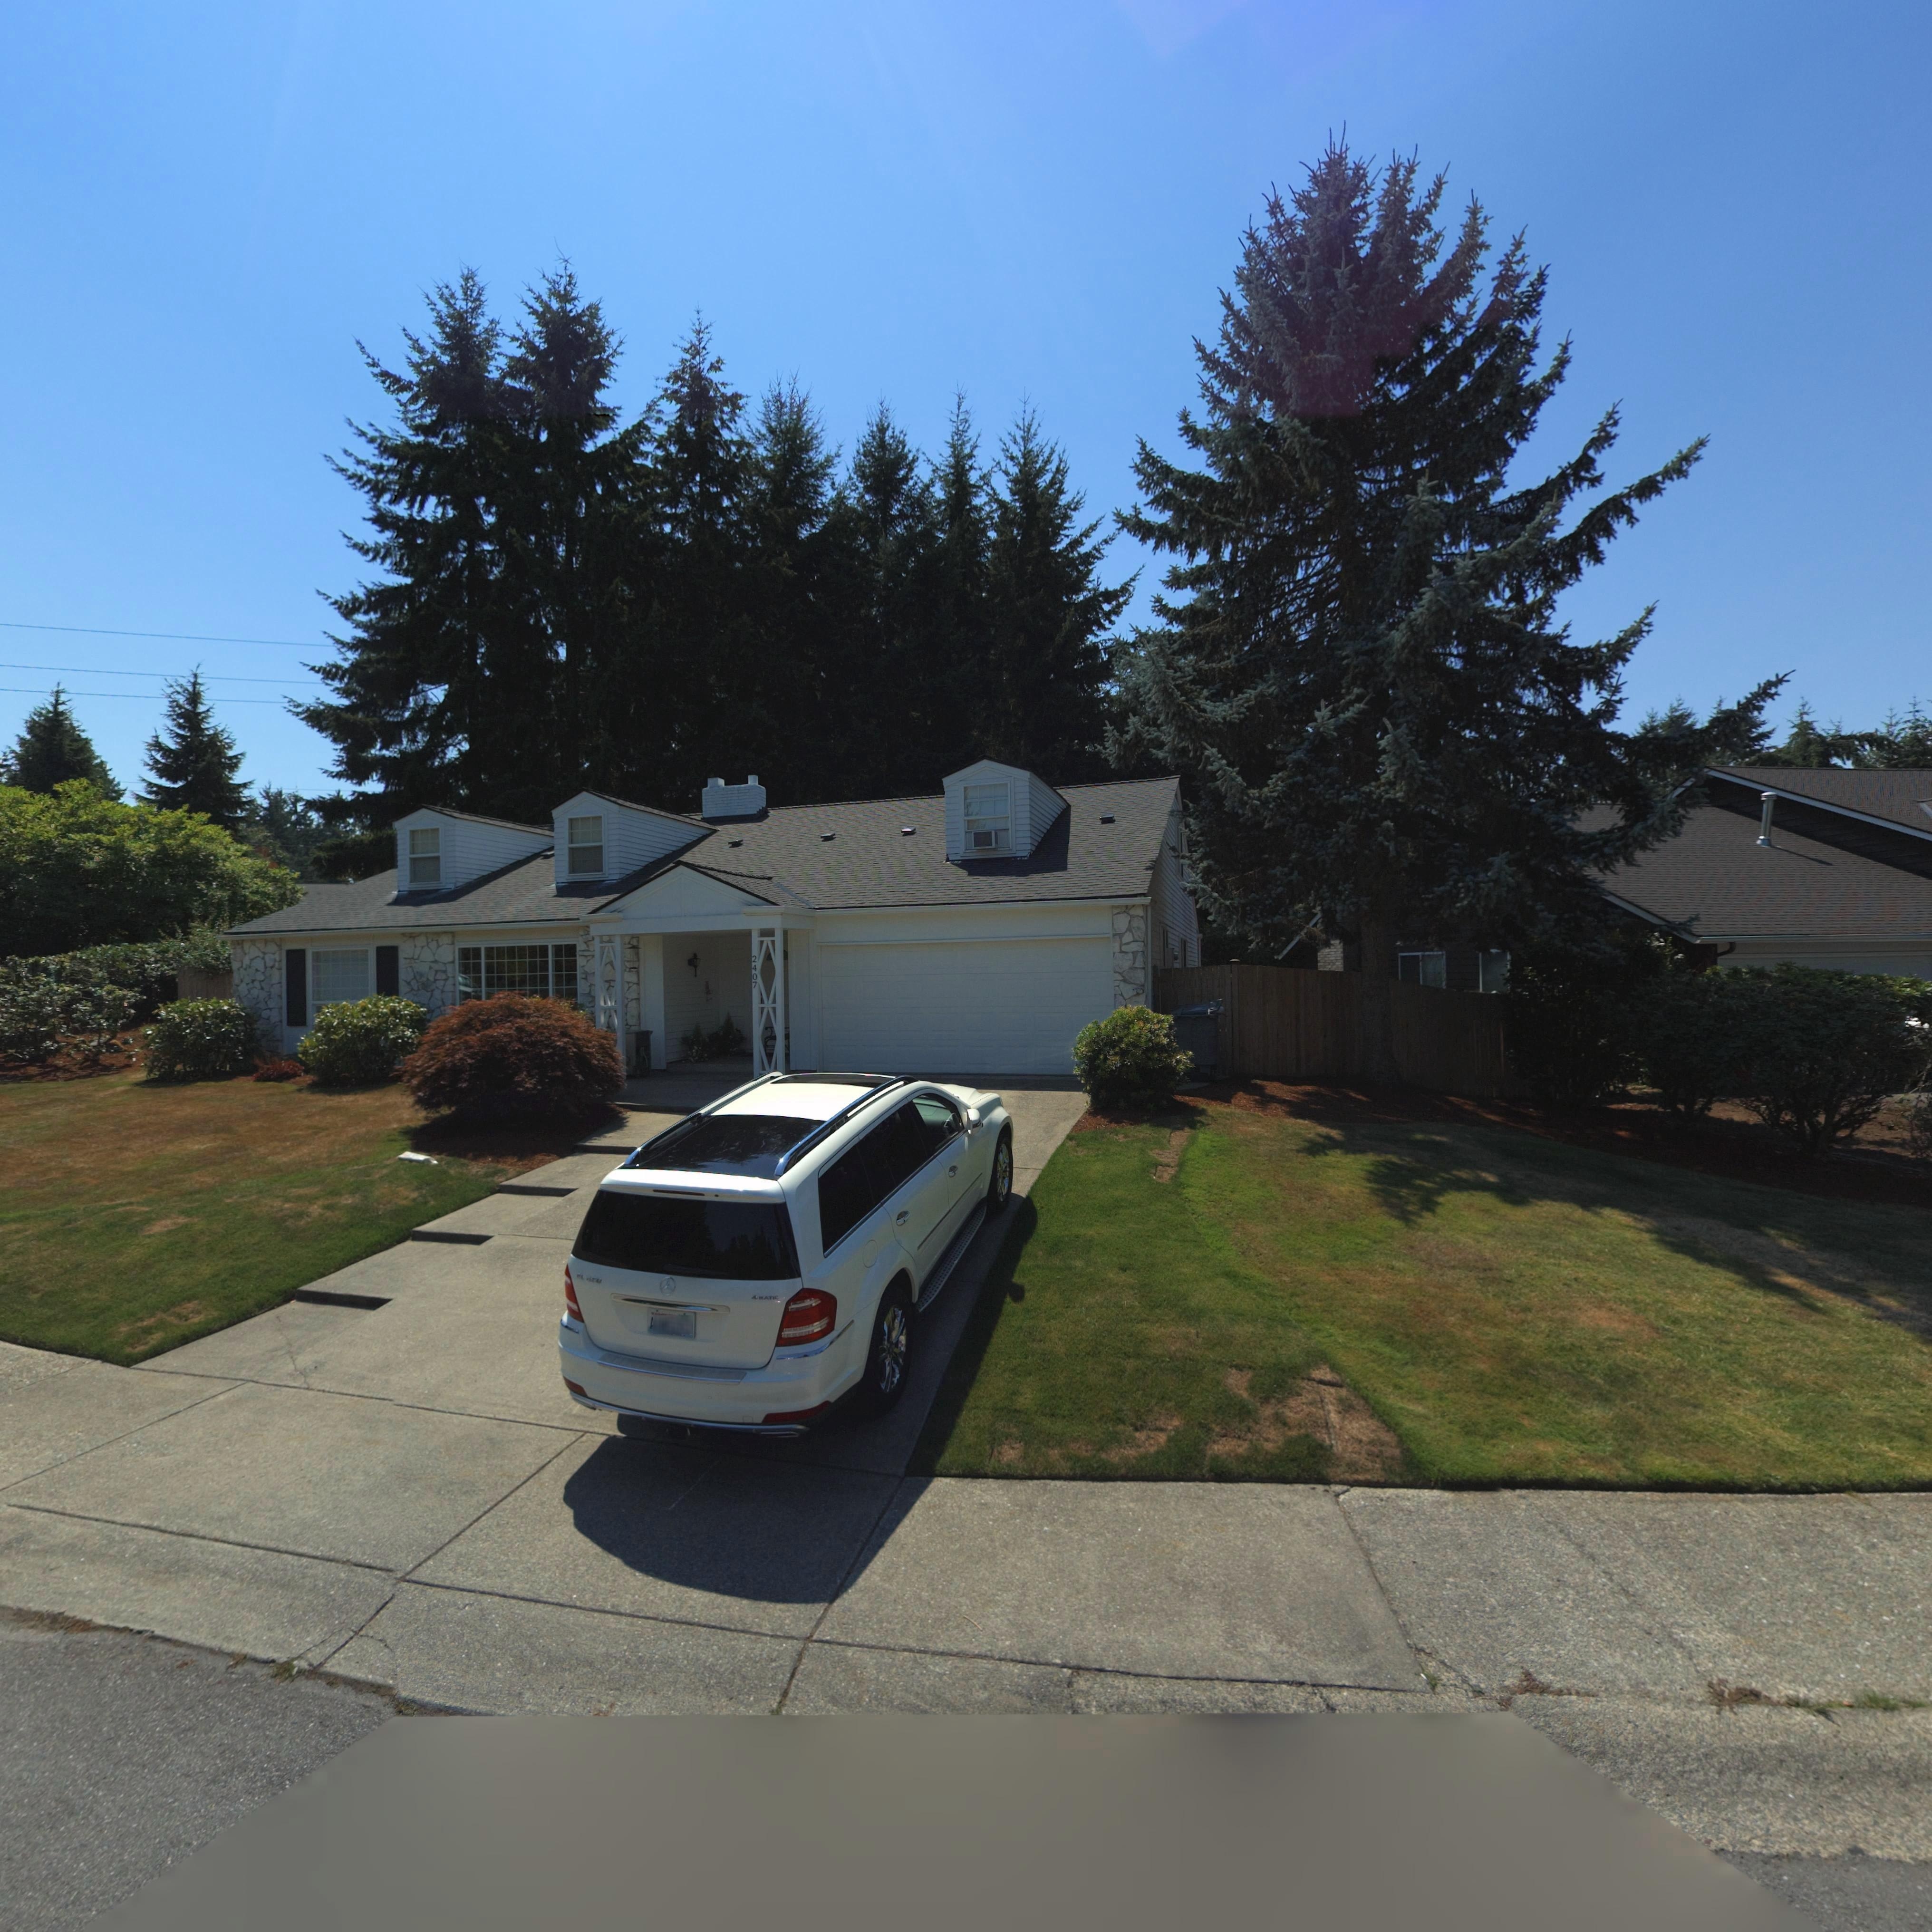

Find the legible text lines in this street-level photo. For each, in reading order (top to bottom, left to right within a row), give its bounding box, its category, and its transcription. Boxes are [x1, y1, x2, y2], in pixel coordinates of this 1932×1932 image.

[751, 955, 759, 989] StreetNumber: 2407